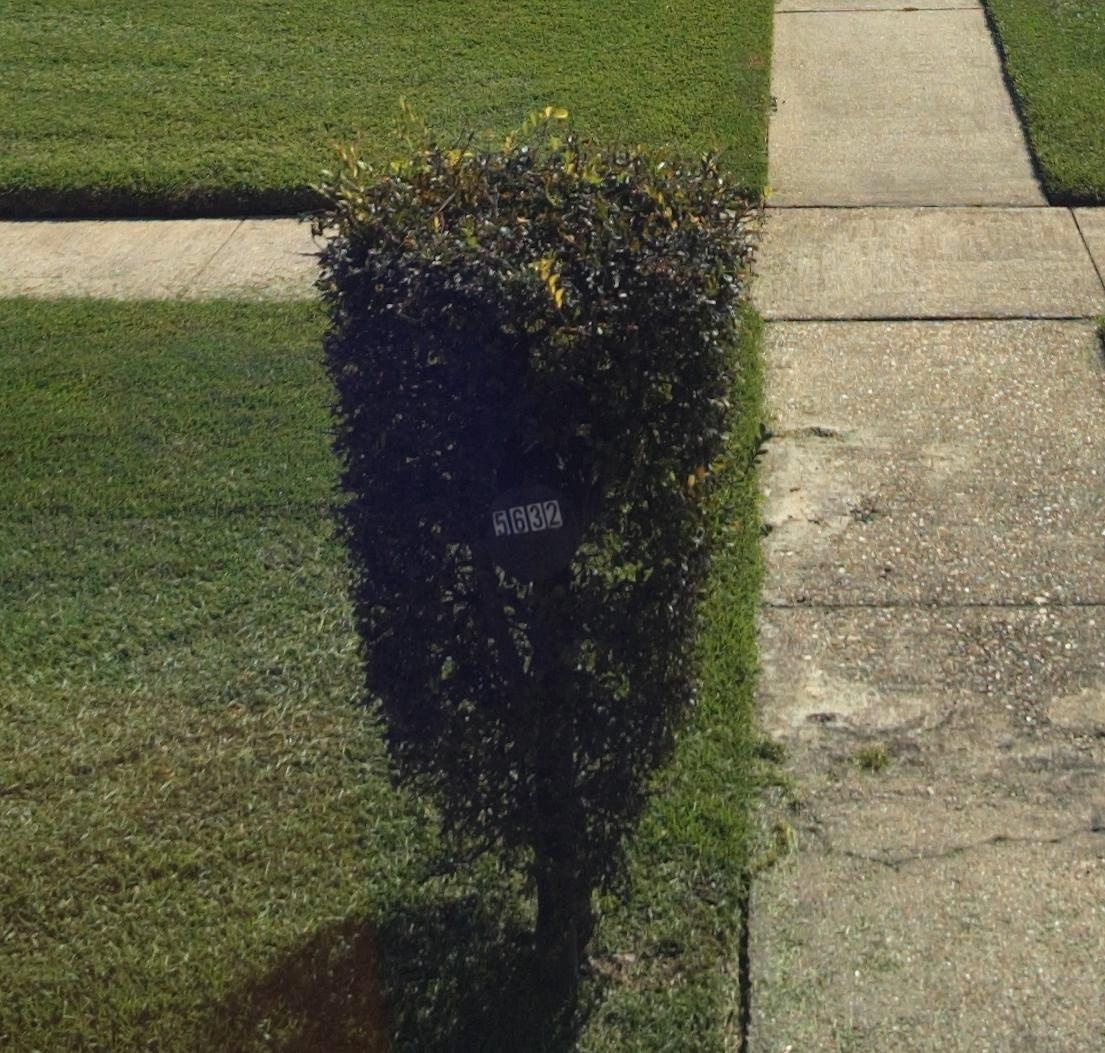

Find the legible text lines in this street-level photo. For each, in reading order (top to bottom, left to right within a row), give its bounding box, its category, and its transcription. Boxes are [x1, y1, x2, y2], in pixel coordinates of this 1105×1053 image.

[492, 498, 564, 539] StreetNumber: 5632